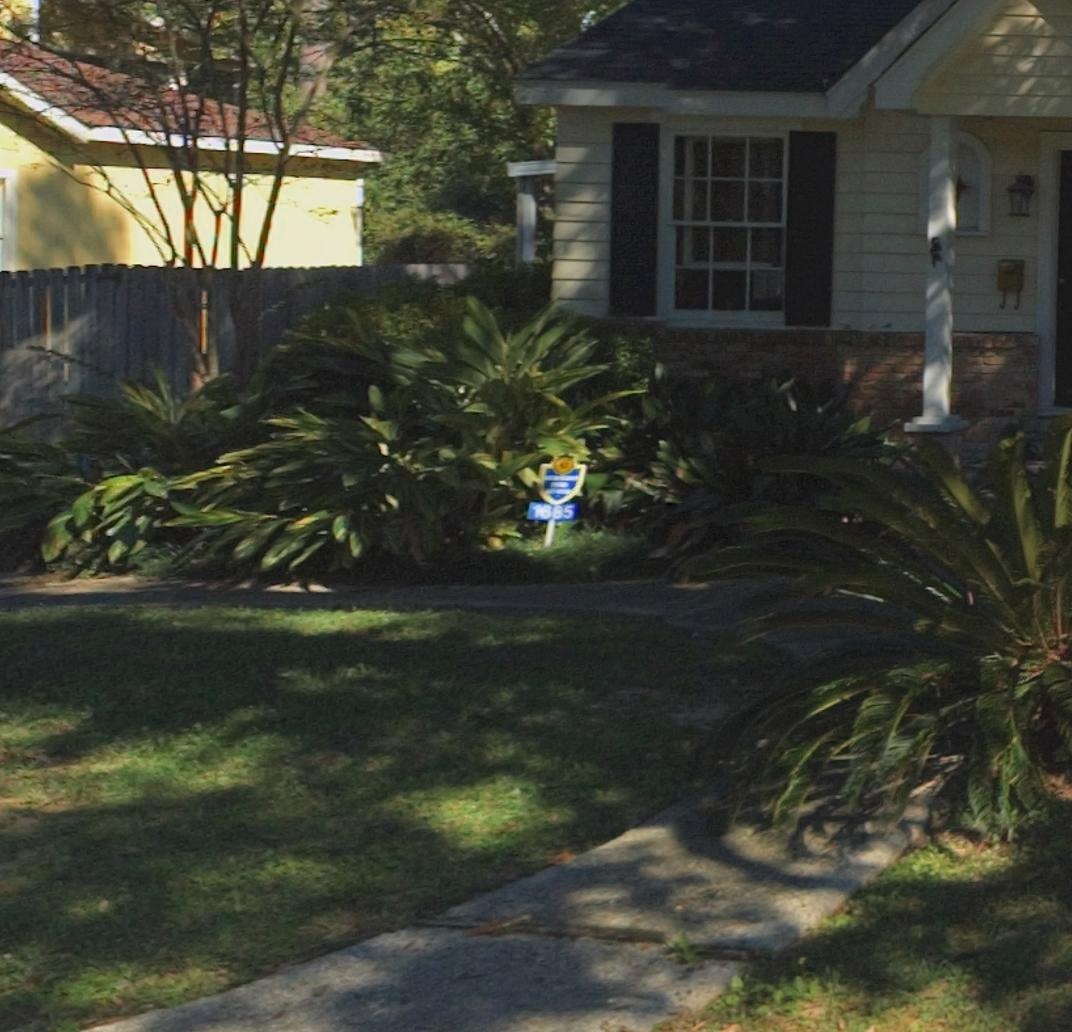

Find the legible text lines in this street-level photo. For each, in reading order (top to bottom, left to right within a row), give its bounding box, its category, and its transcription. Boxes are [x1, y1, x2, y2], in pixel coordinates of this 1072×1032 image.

[532, 502, 577, 520] StreetNumber: 1685